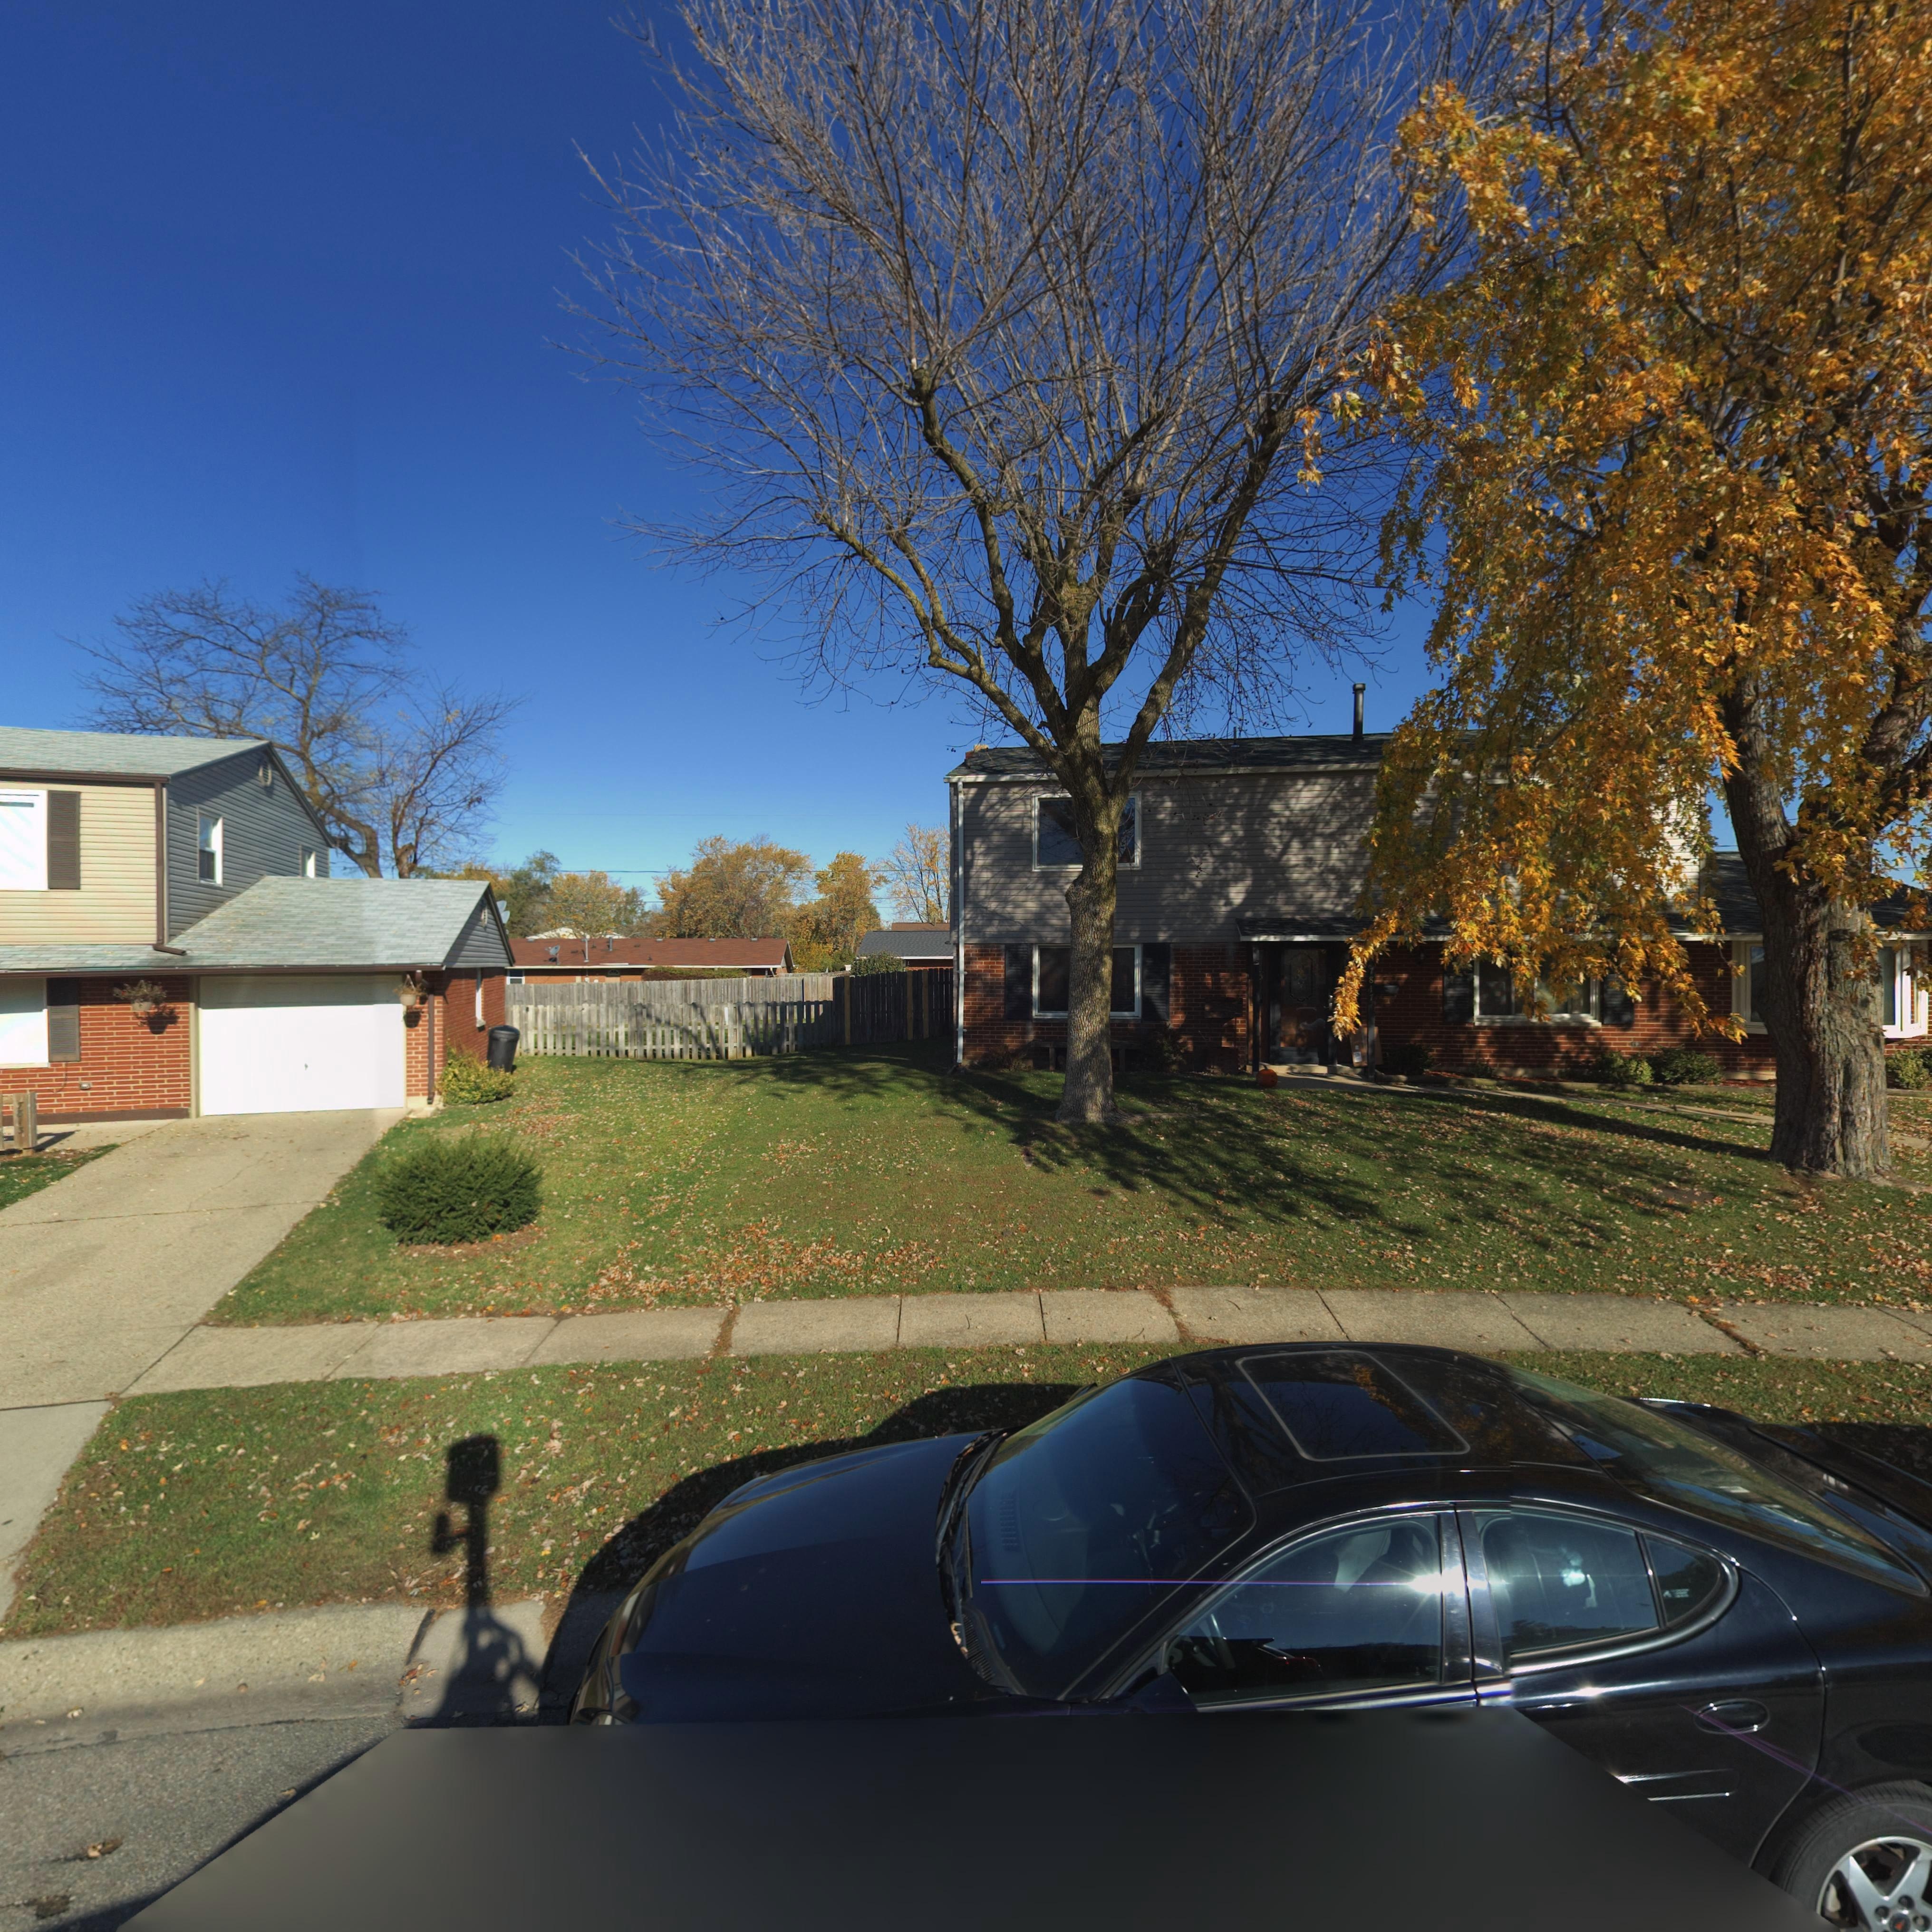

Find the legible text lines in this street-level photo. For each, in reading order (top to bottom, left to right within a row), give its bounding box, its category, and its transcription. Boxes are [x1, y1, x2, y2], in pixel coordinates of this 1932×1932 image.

[1369, 966, 1375, 1001] StreetNumber: 7817